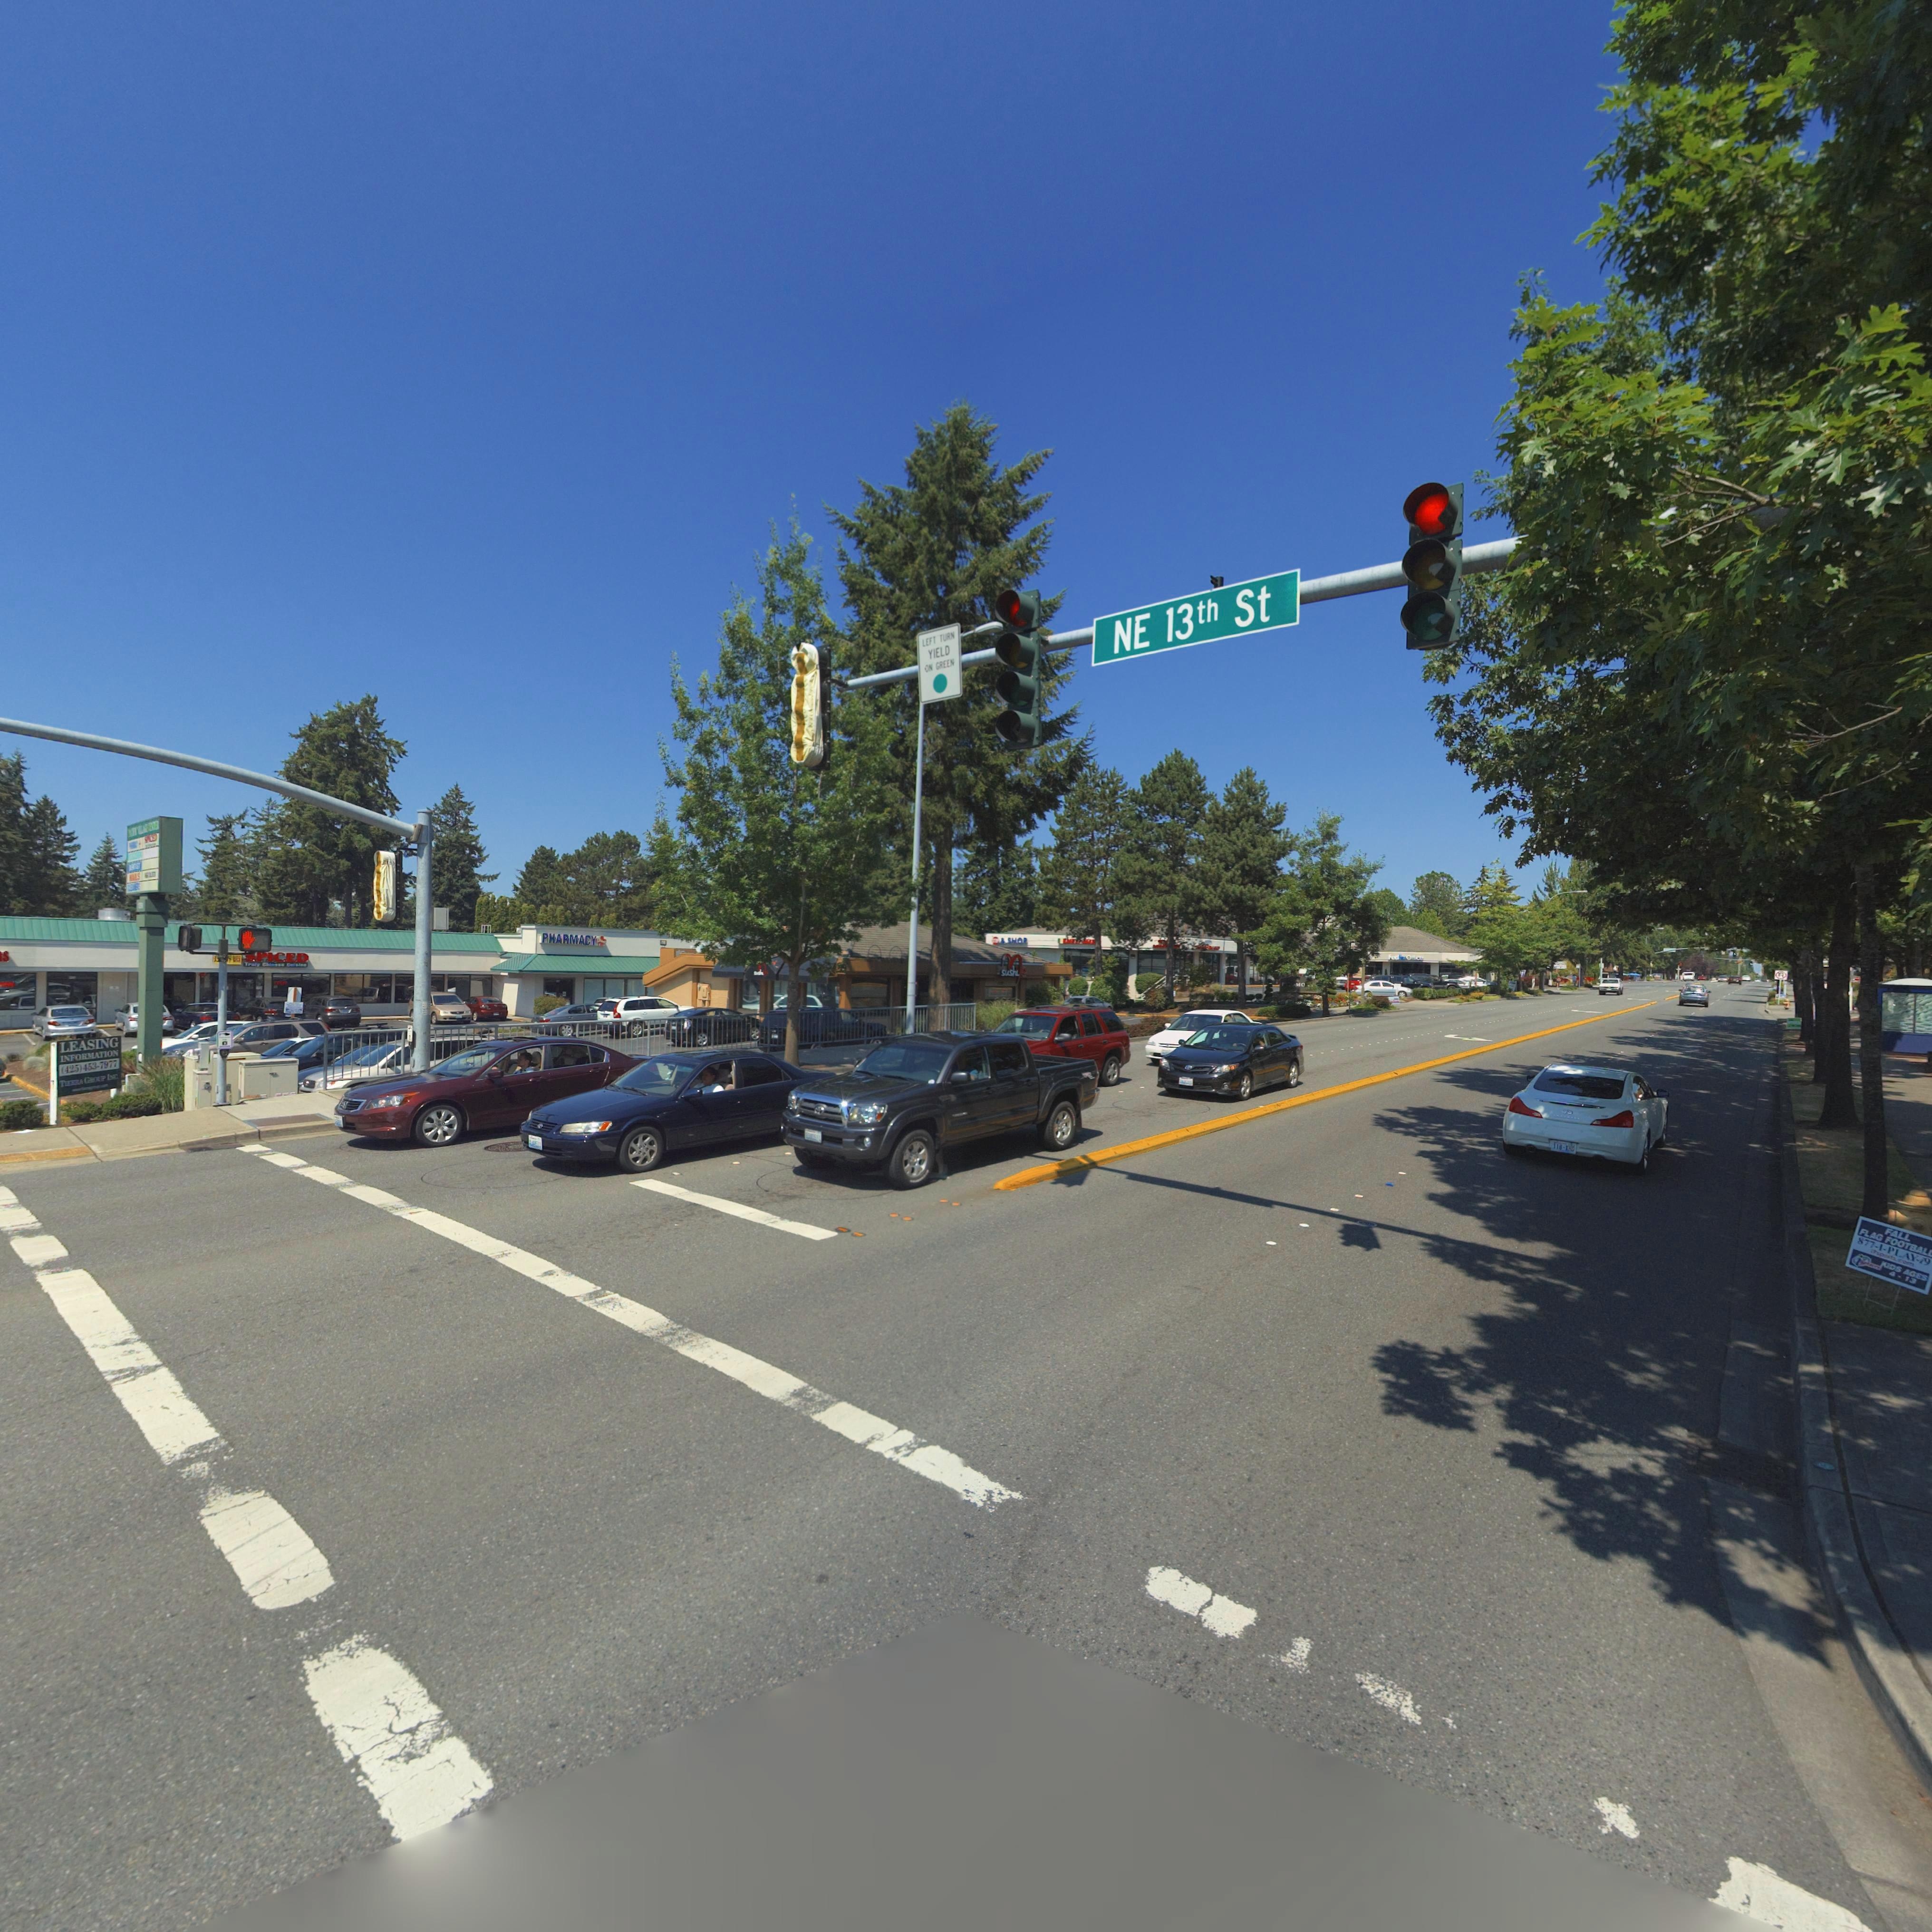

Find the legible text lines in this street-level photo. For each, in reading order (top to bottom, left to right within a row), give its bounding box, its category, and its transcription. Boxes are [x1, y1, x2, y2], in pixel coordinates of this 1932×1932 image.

[1111, 581, 1278, 657] StreetName: NE 13th St
[920, 630, 956, 648] TrafficSign: LEFT TURN
[926, 644, 951, 660] TrafficSign: YIELD
[923, 657, 956, 675] TrafficSign: ON GREEN
[541, 933, 599, 945] BusinessName: PHARMACY
[999, 936, 1030, 944] BusinessName: & SHOP
[214, 947, 322, 980] BusinessName: *PICED